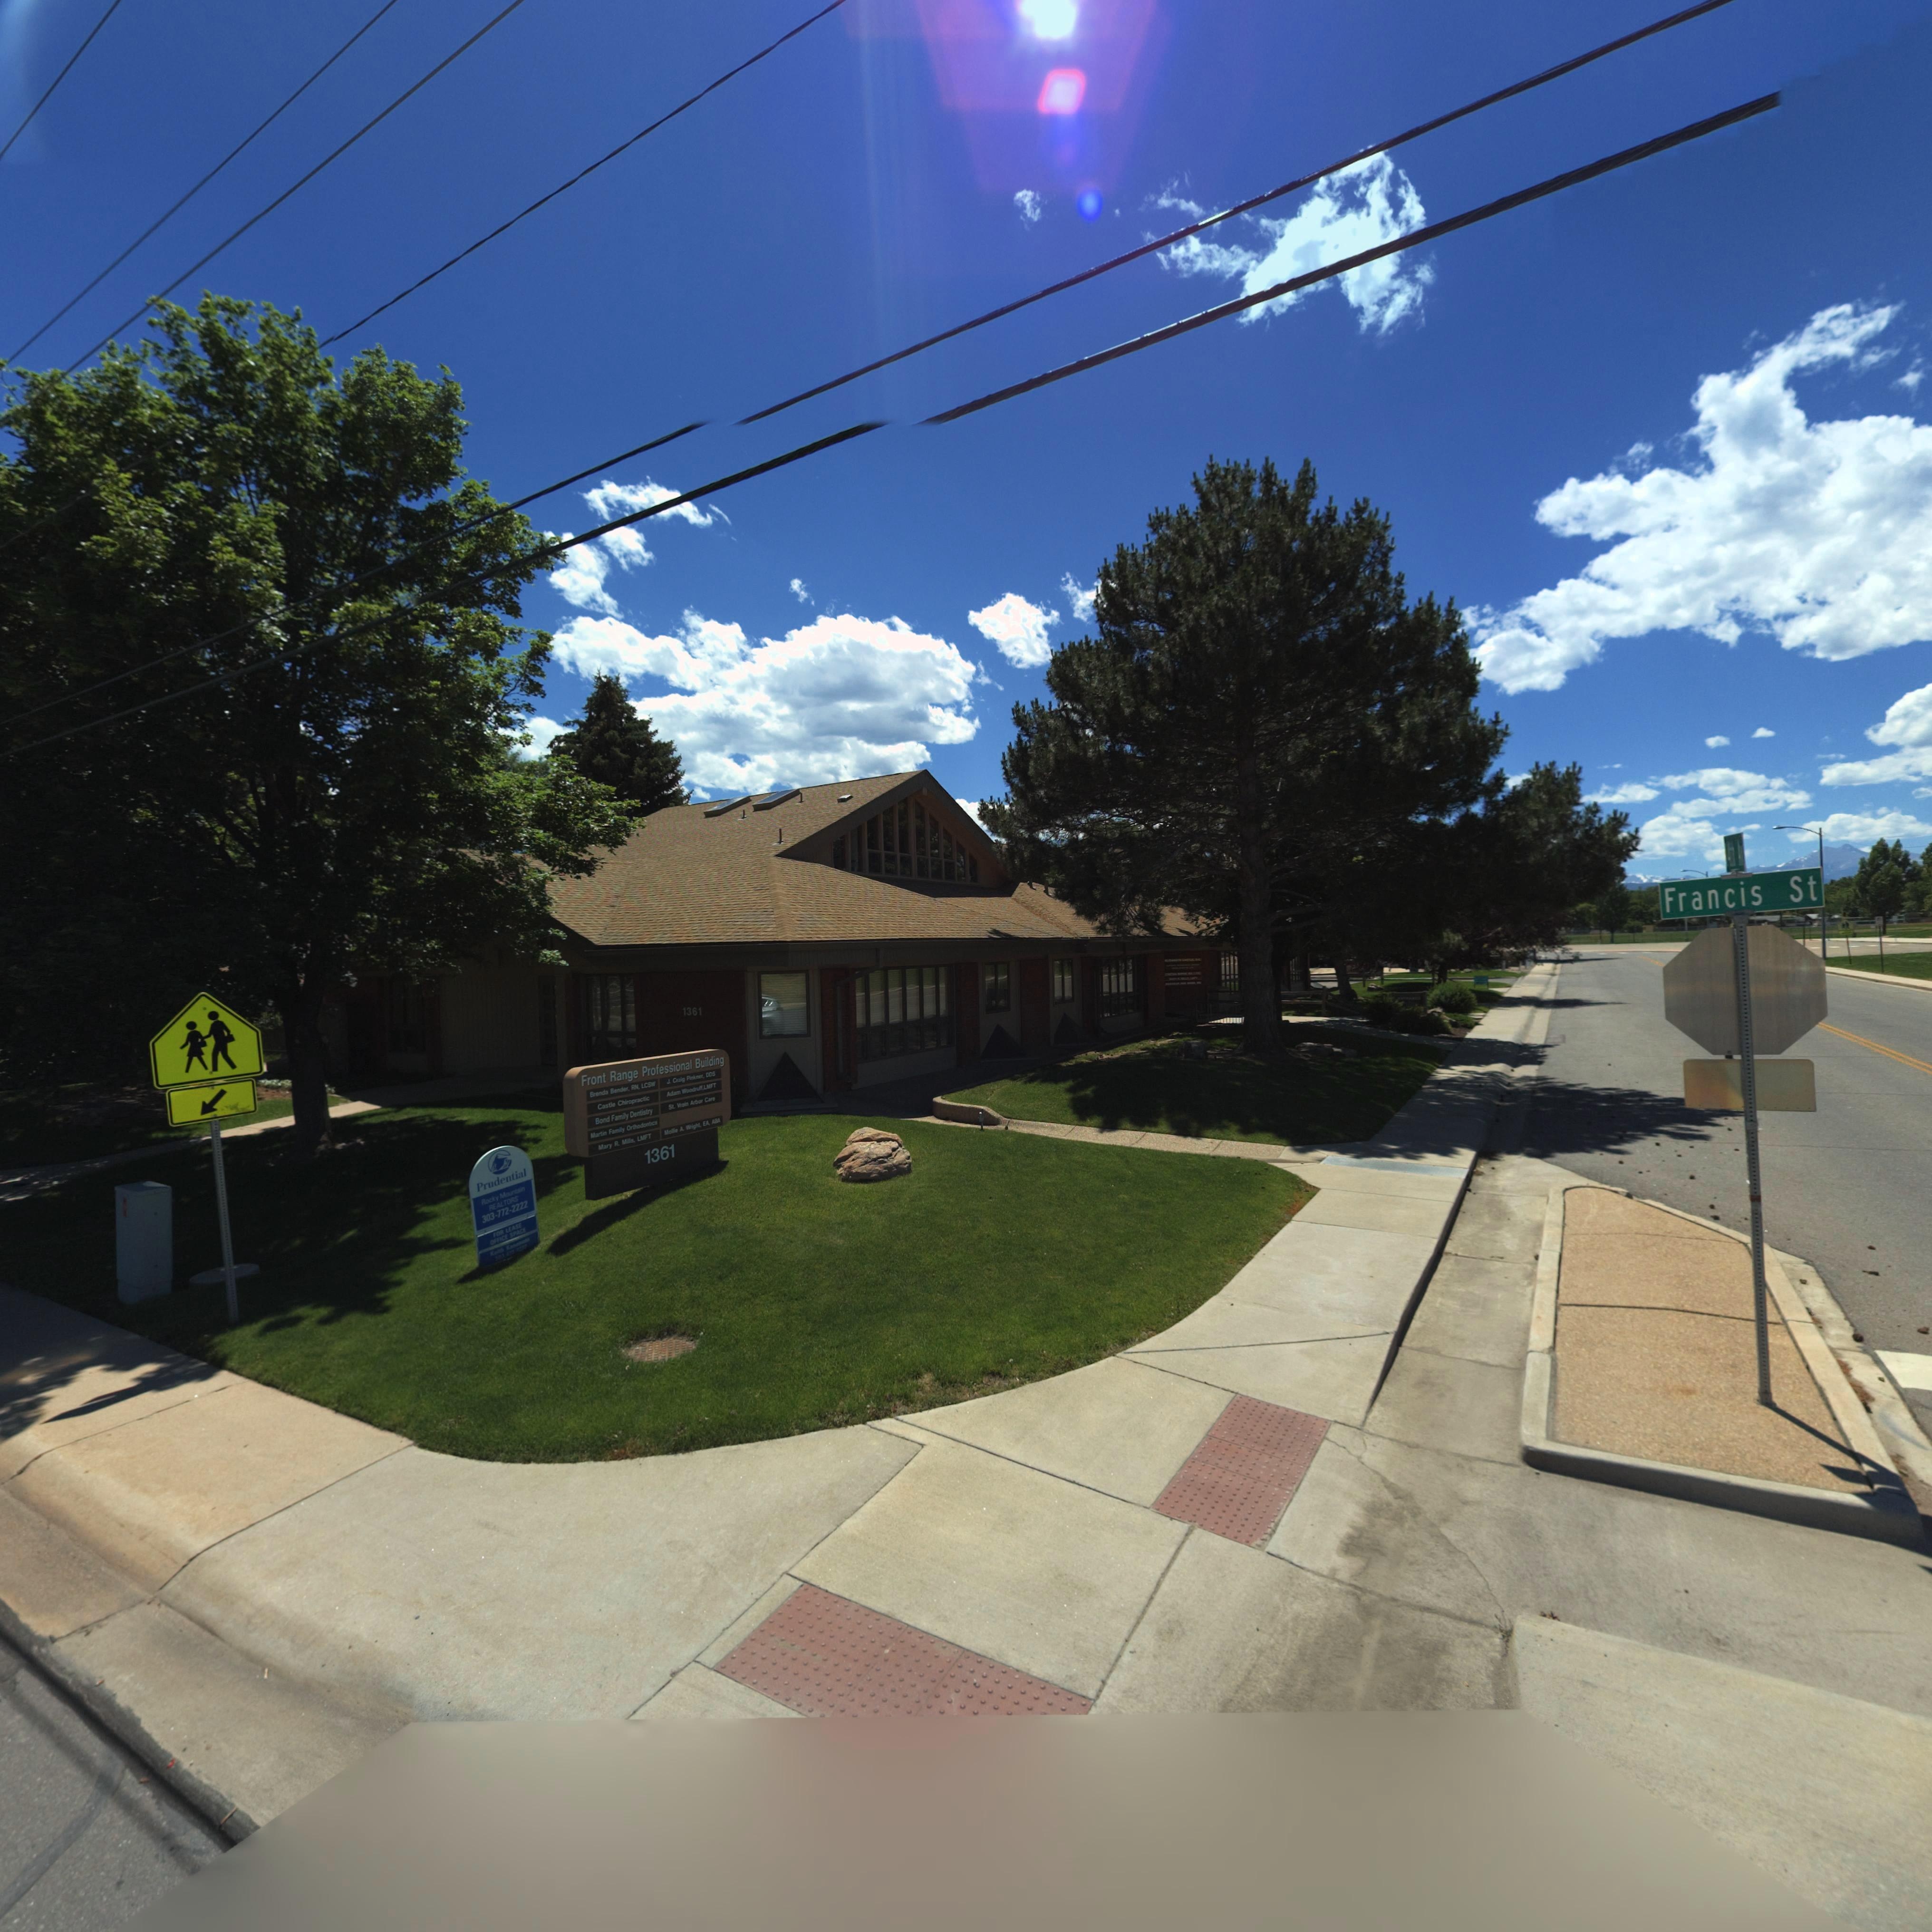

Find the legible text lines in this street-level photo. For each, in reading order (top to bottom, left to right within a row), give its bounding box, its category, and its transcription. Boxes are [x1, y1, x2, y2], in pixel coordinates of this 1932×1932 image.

[1725, 840, 1738, 868] StreetName: *4th
[1663, 875, 1818, 913] StreetName: Francis St
[682, 1007, 702, 1016] StreetNumber: 1361
[667, 1071, 716, 1084] None: J* Craig P*nk**r* DDS
[589, 1081, 656, 1098] BusinessName: Brenda Bender* RN LCSW
[666, 1082, 716, 1097] BusinessName: Adam Woodruff*LMFT
[597, 1096, 650, 1110] BusinessName: Castle Chiropractic
[668, 1097, 715, 1110] BusinessName: St* Vrain Arvor Care
[595, 1109, 653, 1124] BusinessName: Bond Family Dentistry
[590, 1121, 657, 1139] BusinessName: Martin Family ORthodontics
[664, 1117, 721, 1135] BusinessName: Mol** A* Wright* EA ABA
[598, 1133, 651, 1150] BusinessName: Mary R* M*** LMFT
[644, 1143, 675, 1164] StreetNumber: 1361